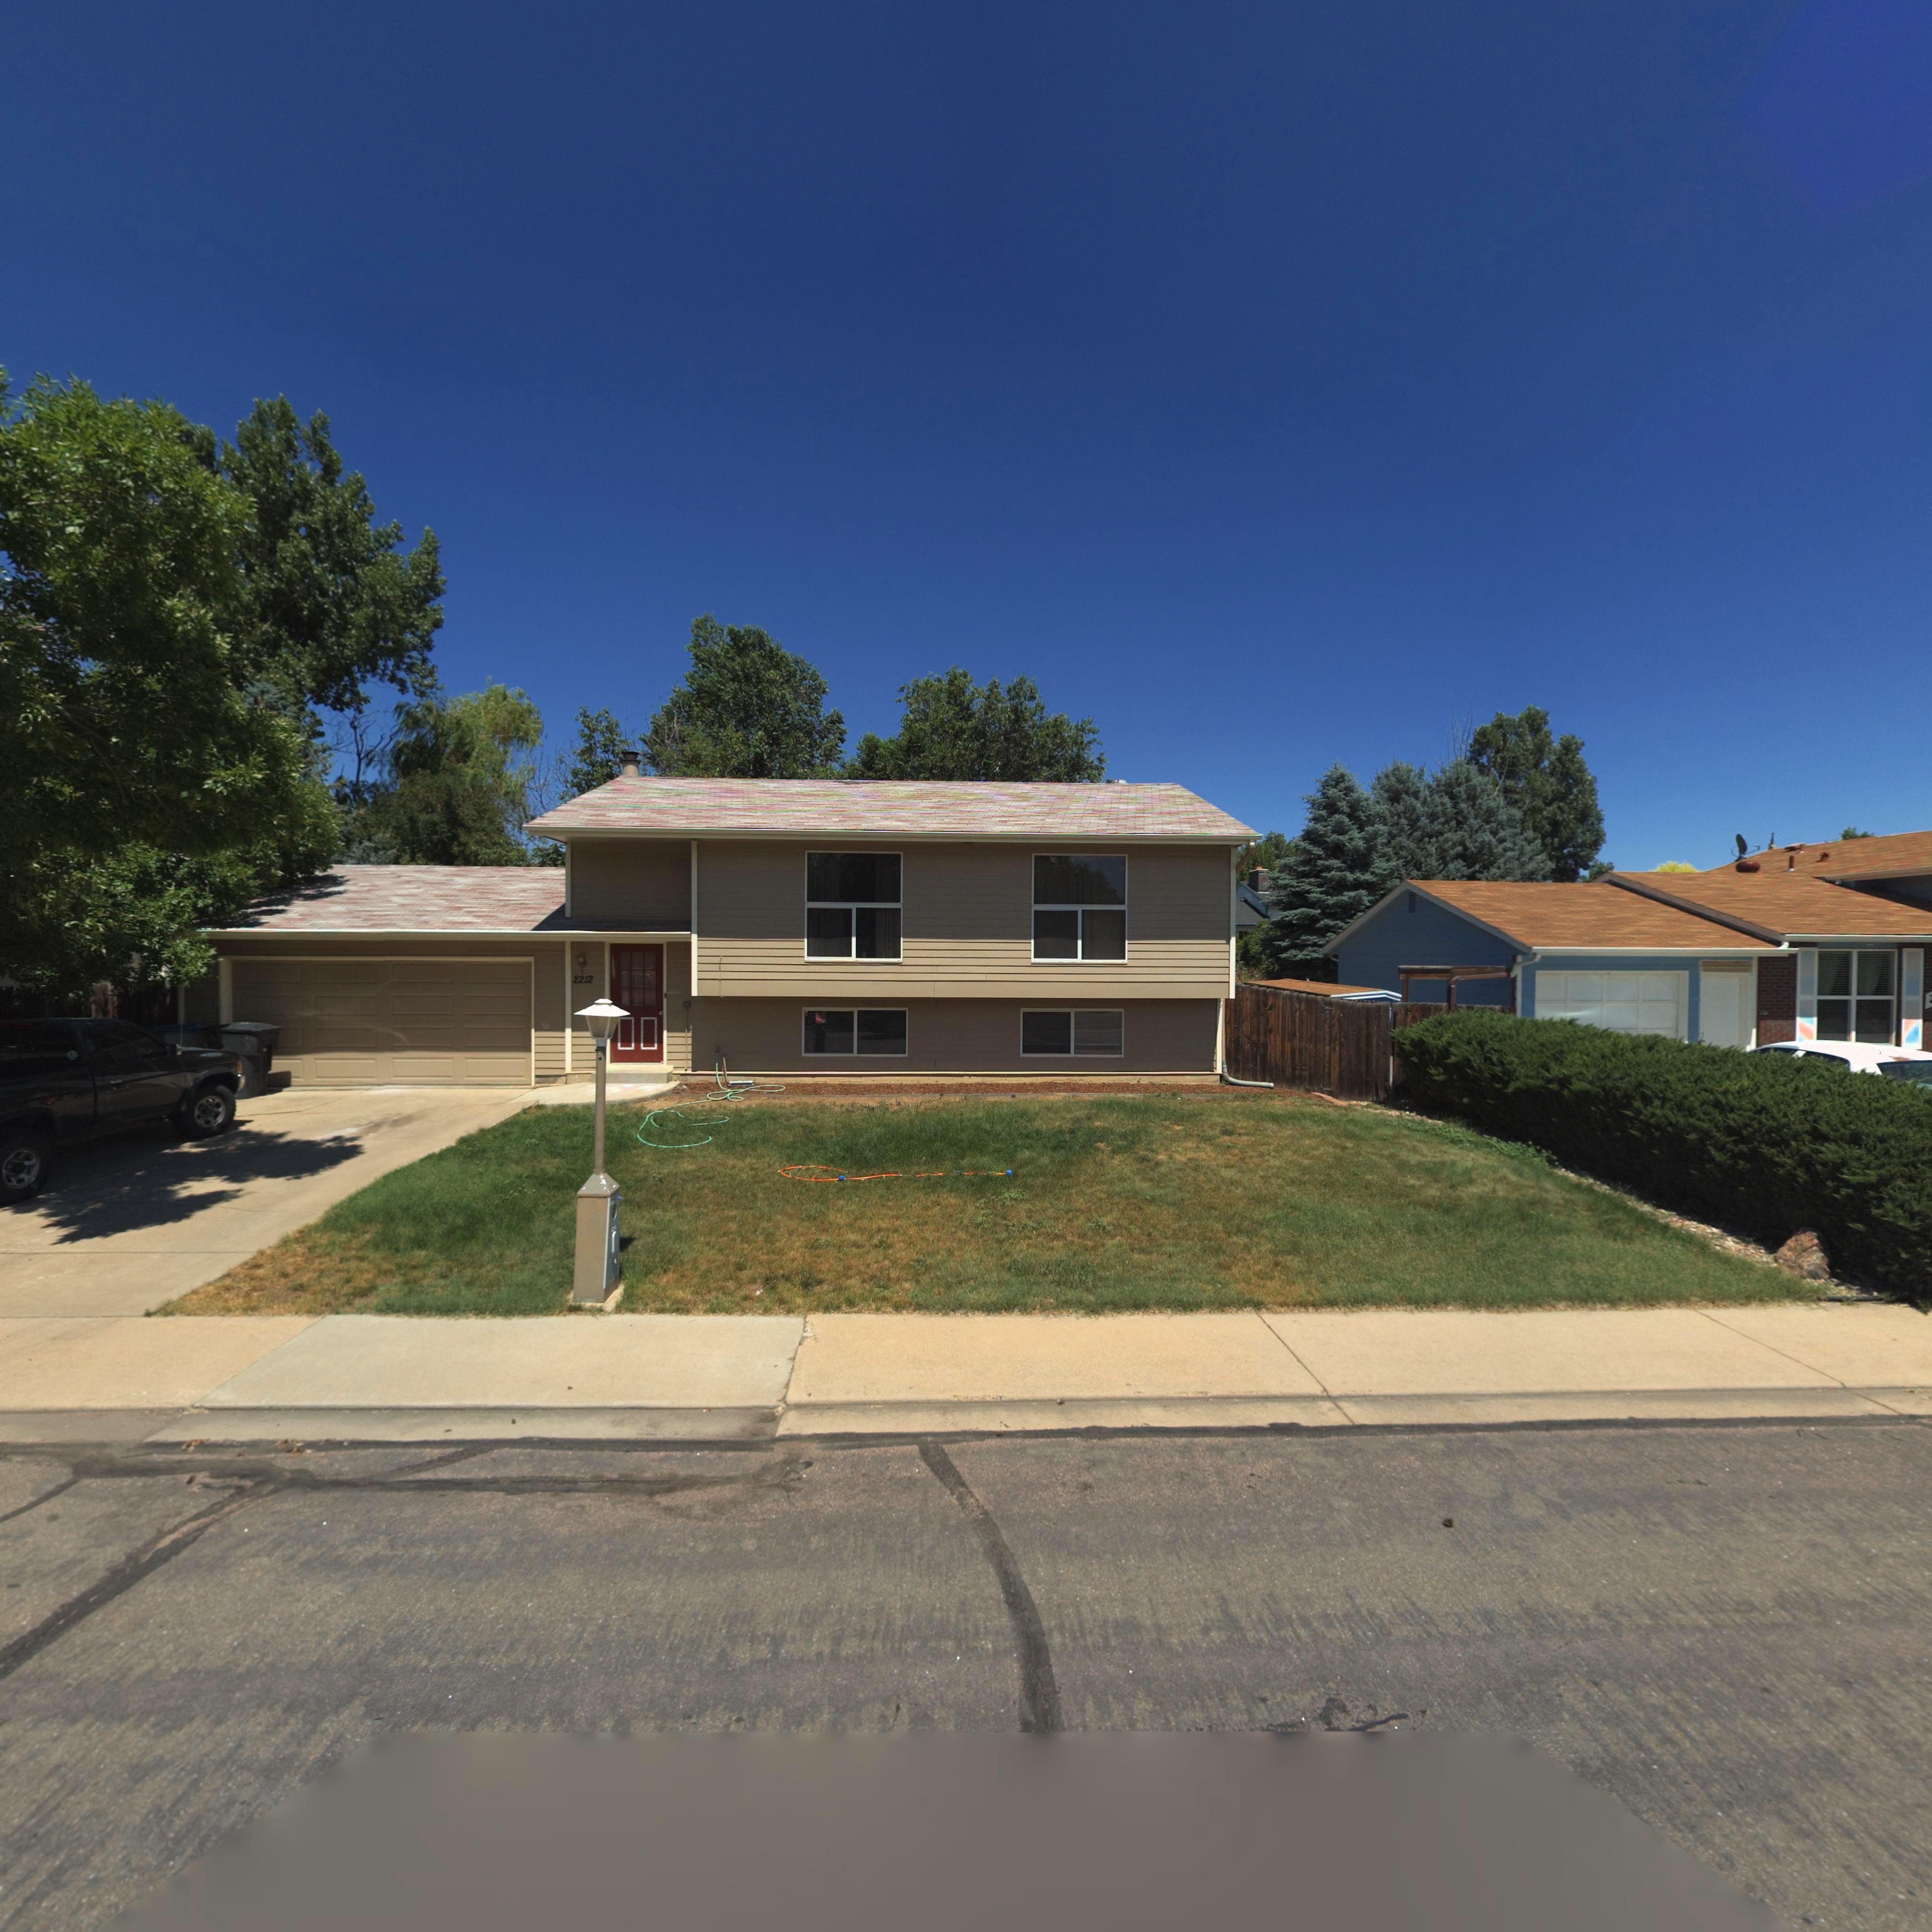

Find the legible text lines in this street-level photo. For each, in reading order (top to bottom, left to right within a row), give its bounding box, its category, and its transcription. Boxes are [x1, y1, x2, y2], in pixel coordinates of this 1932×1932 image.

[572, 975, 594, 984] StreetNumber: 2212